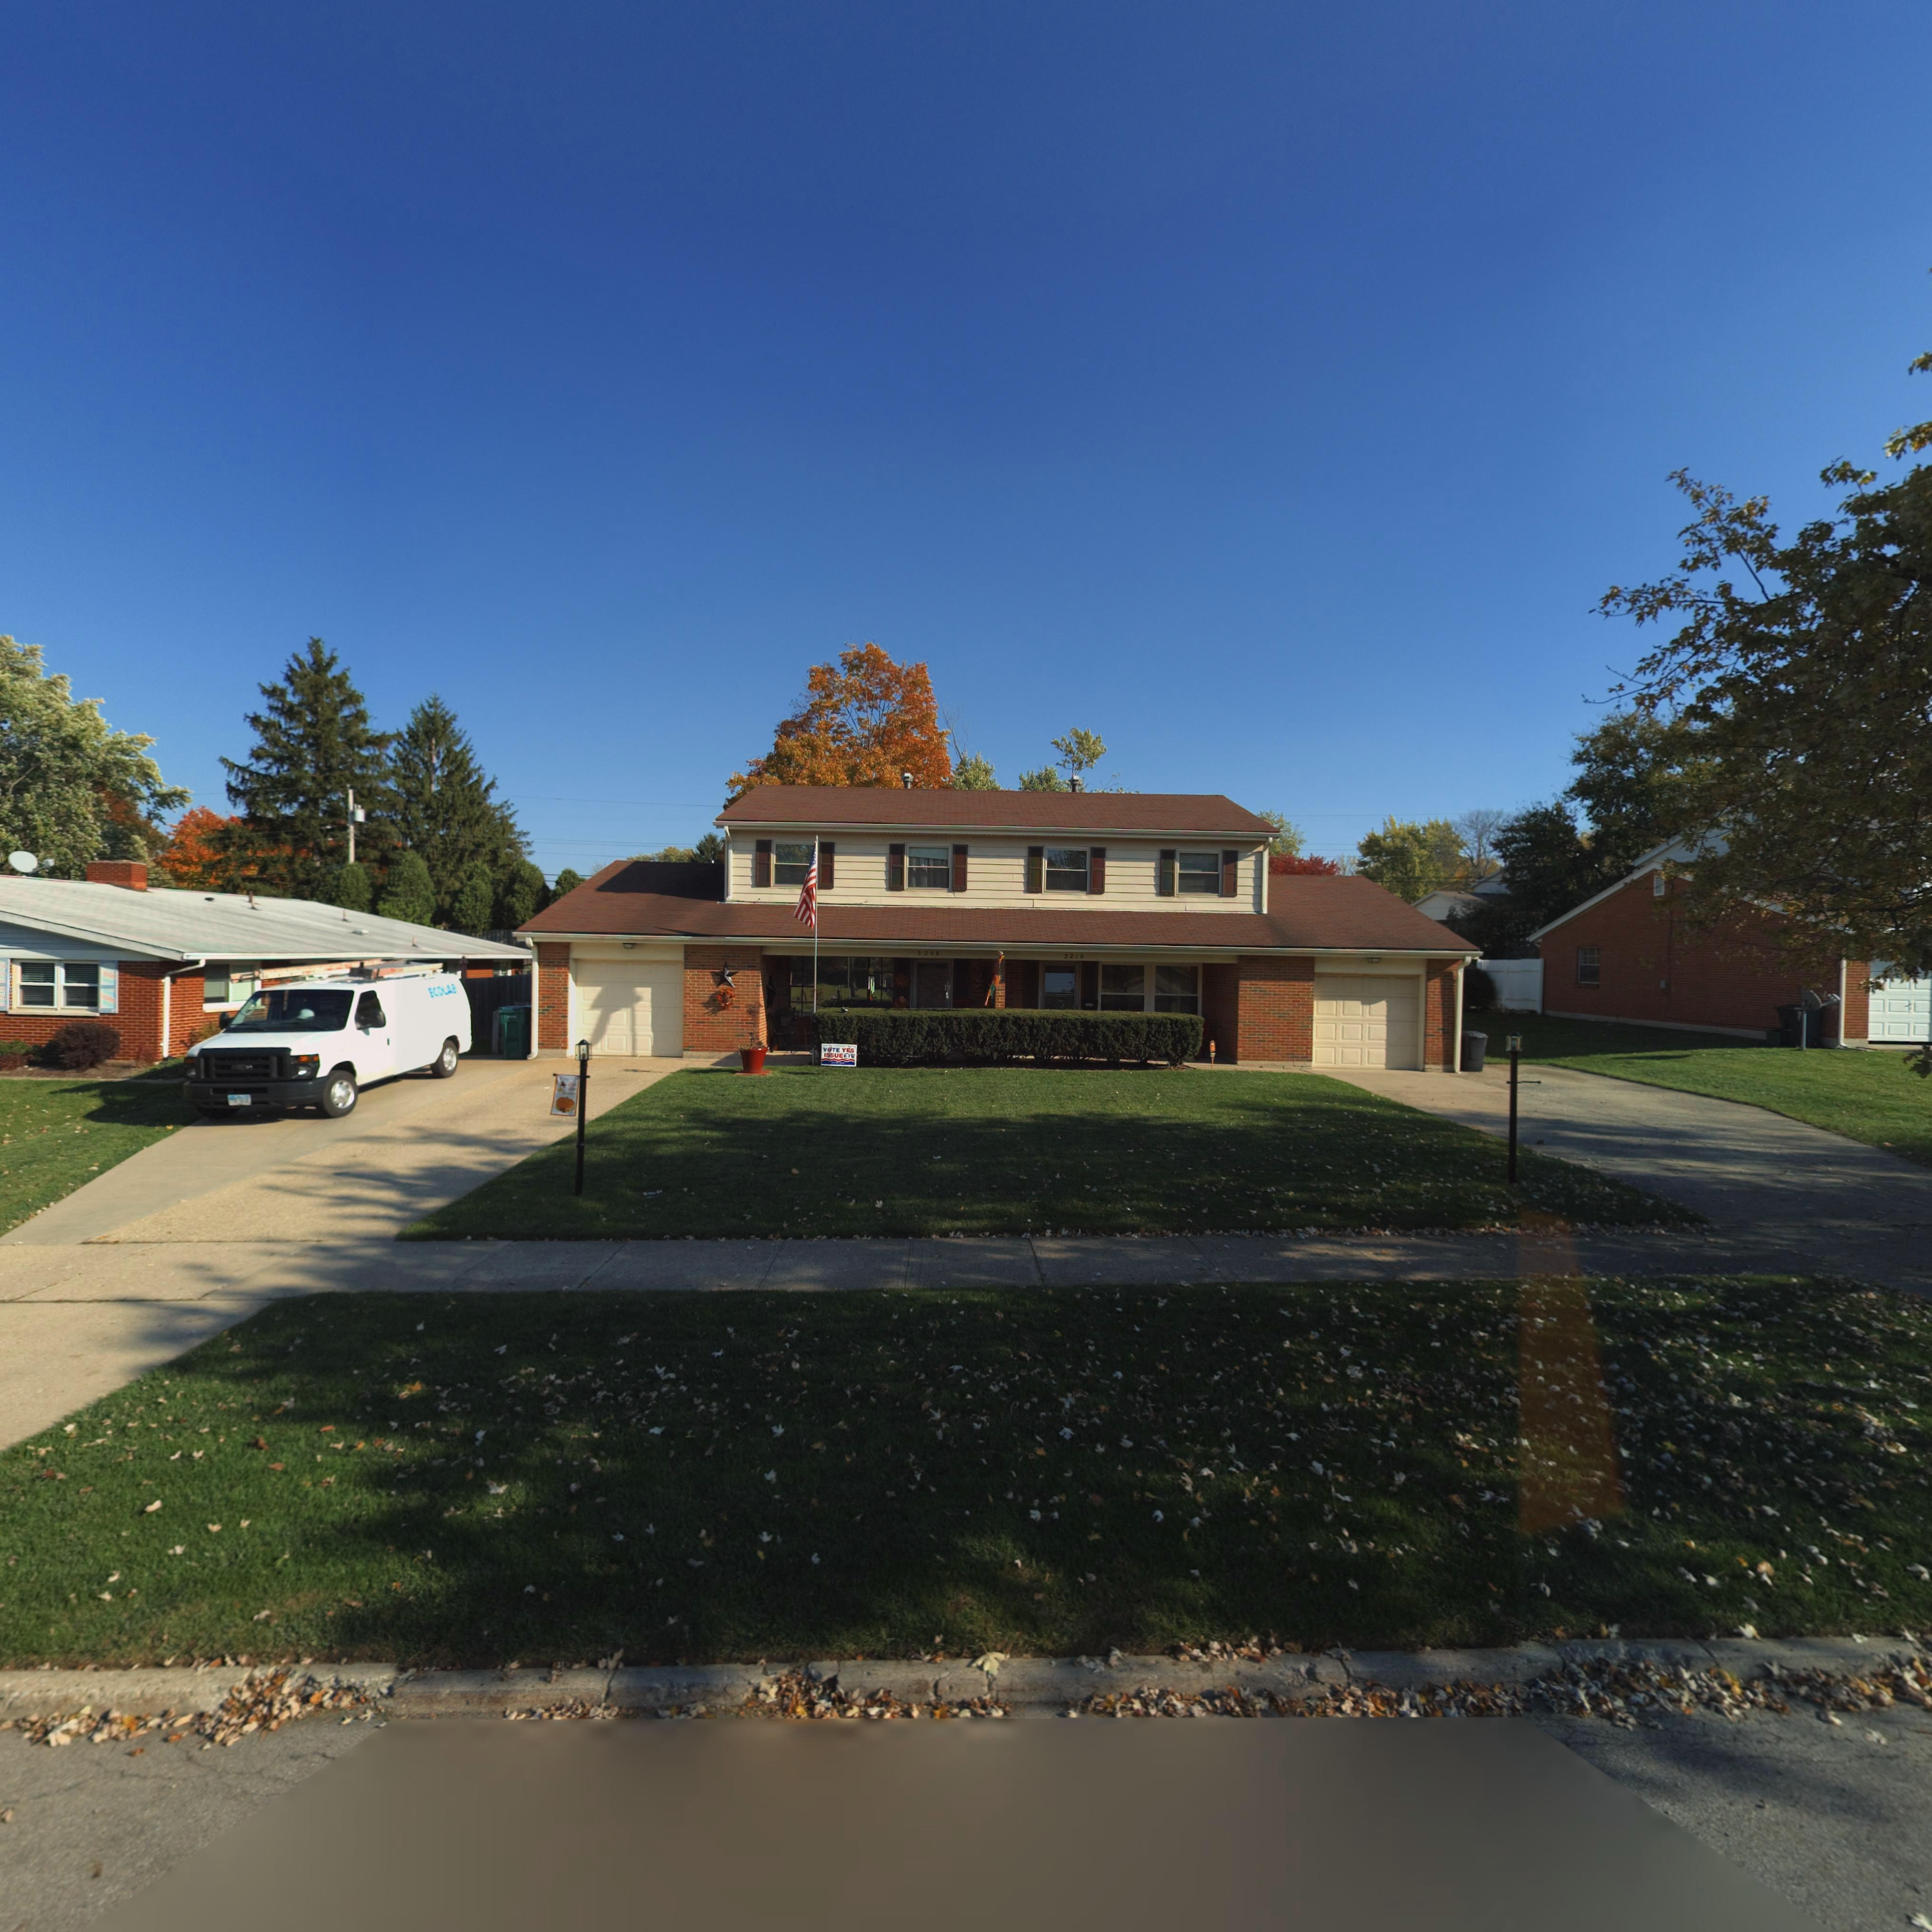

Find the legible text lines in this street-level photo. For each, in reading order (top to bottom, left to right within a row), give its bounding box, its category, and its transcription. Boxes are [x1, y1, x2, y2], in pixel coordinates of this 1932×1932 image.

[917, 949, 939, 956] StreetNumber: 3208
[1063, 953, 1083, 959] StreetNumber: 3210